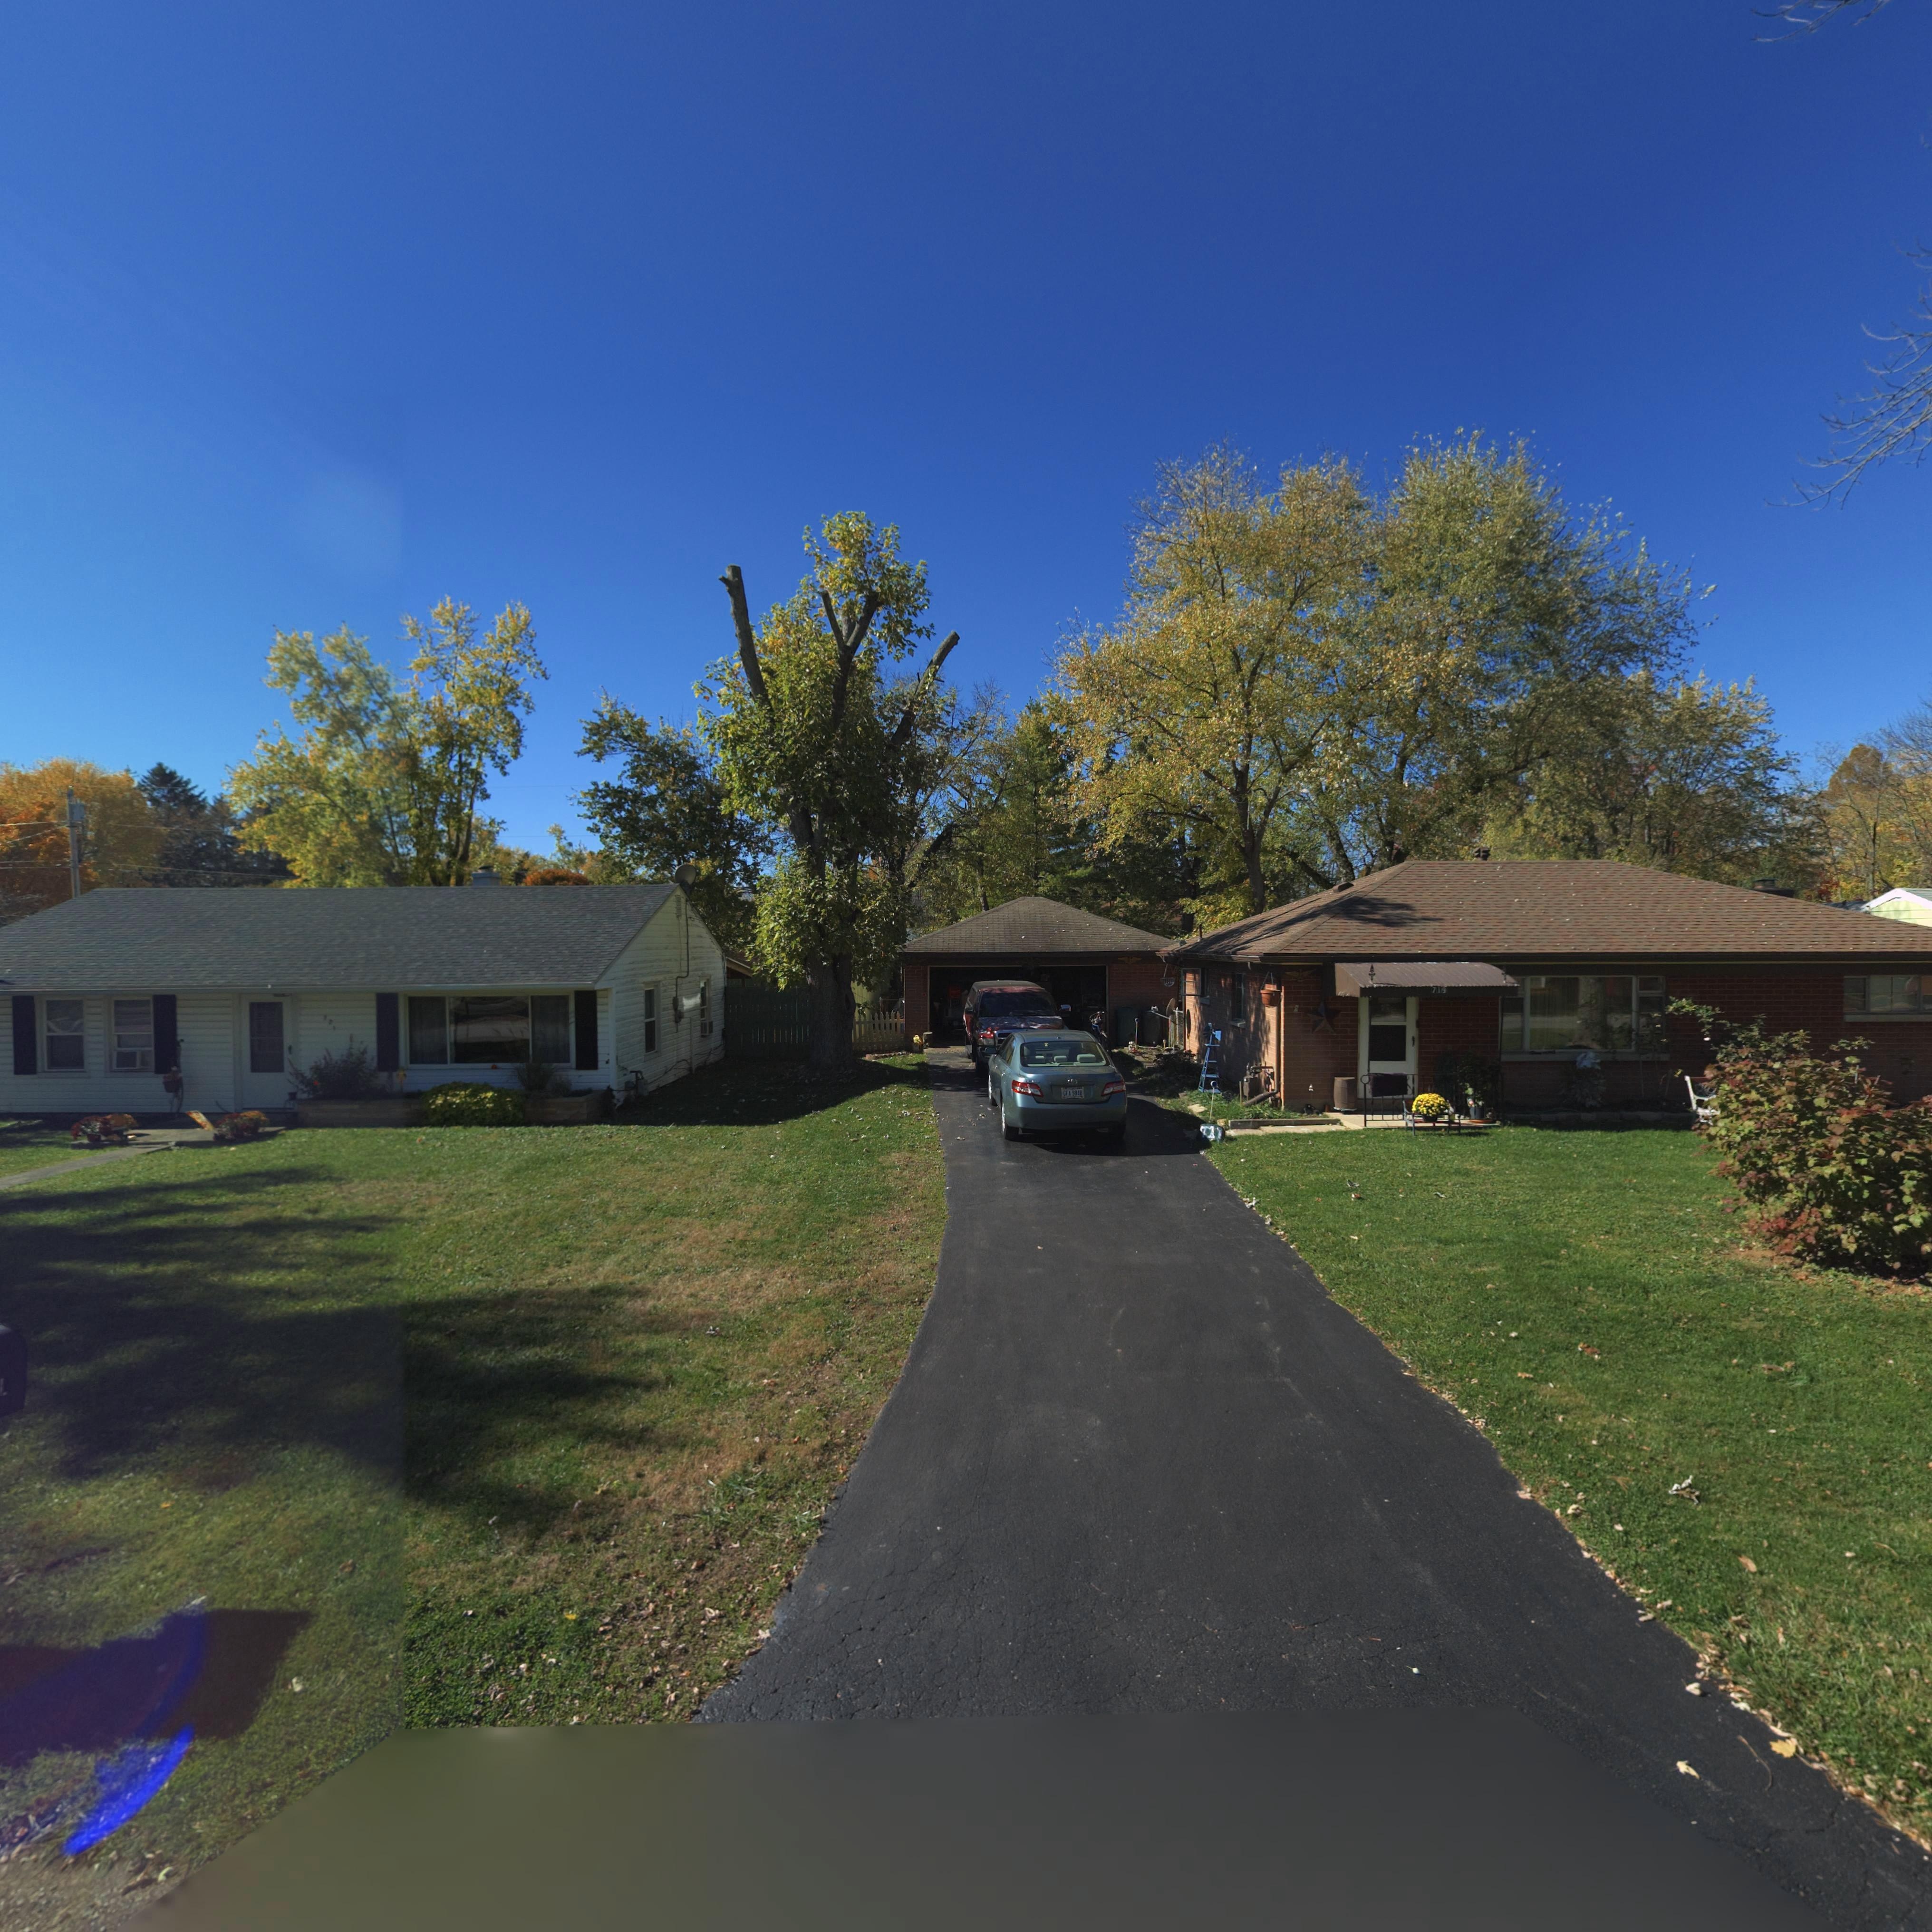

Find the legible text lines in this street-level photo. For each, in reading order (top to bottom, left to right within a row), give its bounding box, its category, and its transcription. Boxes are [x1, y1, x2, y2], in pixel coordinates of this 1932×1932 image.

[1431, 986, 1447, 994] StreetNumber: 719
[322, 1014, 337, 1031] StreetNumber: 721